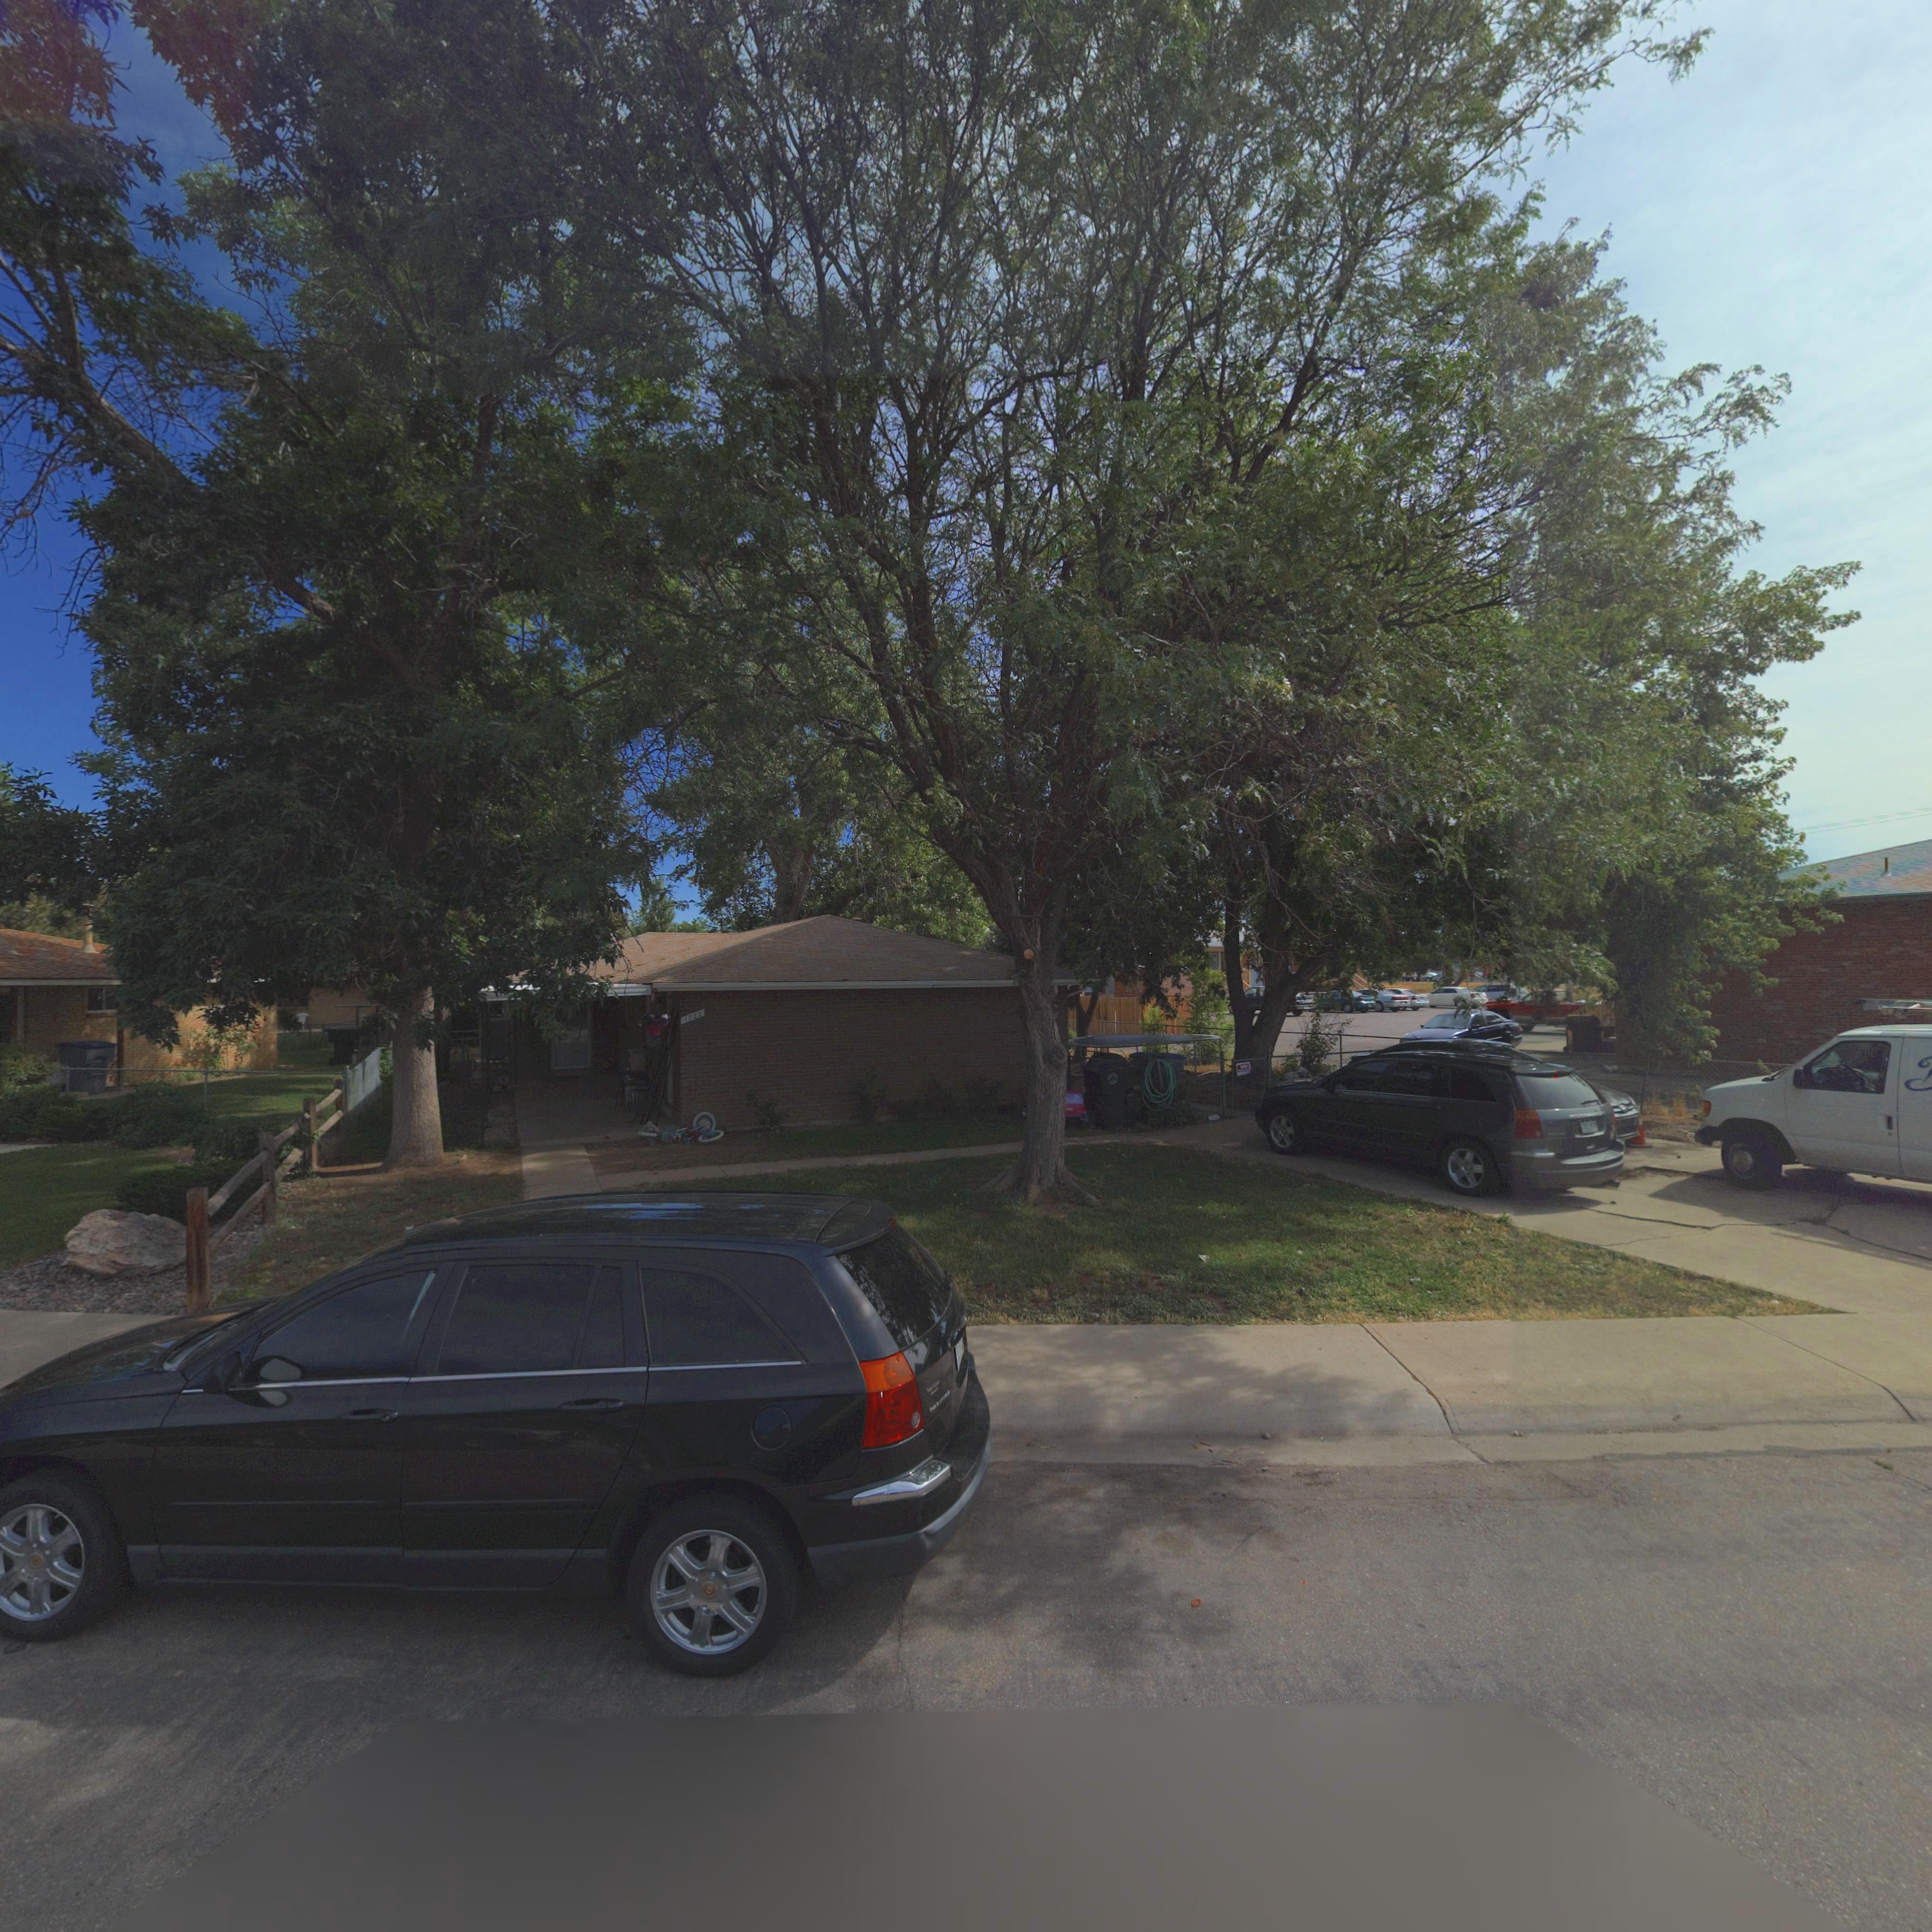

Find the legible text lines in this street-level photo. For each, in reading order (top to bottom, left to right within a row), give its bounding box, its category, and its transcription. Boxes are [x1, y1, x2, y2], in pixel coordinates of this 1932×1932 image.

[683, 1010, 703, 1024] StreetNumber: 1732